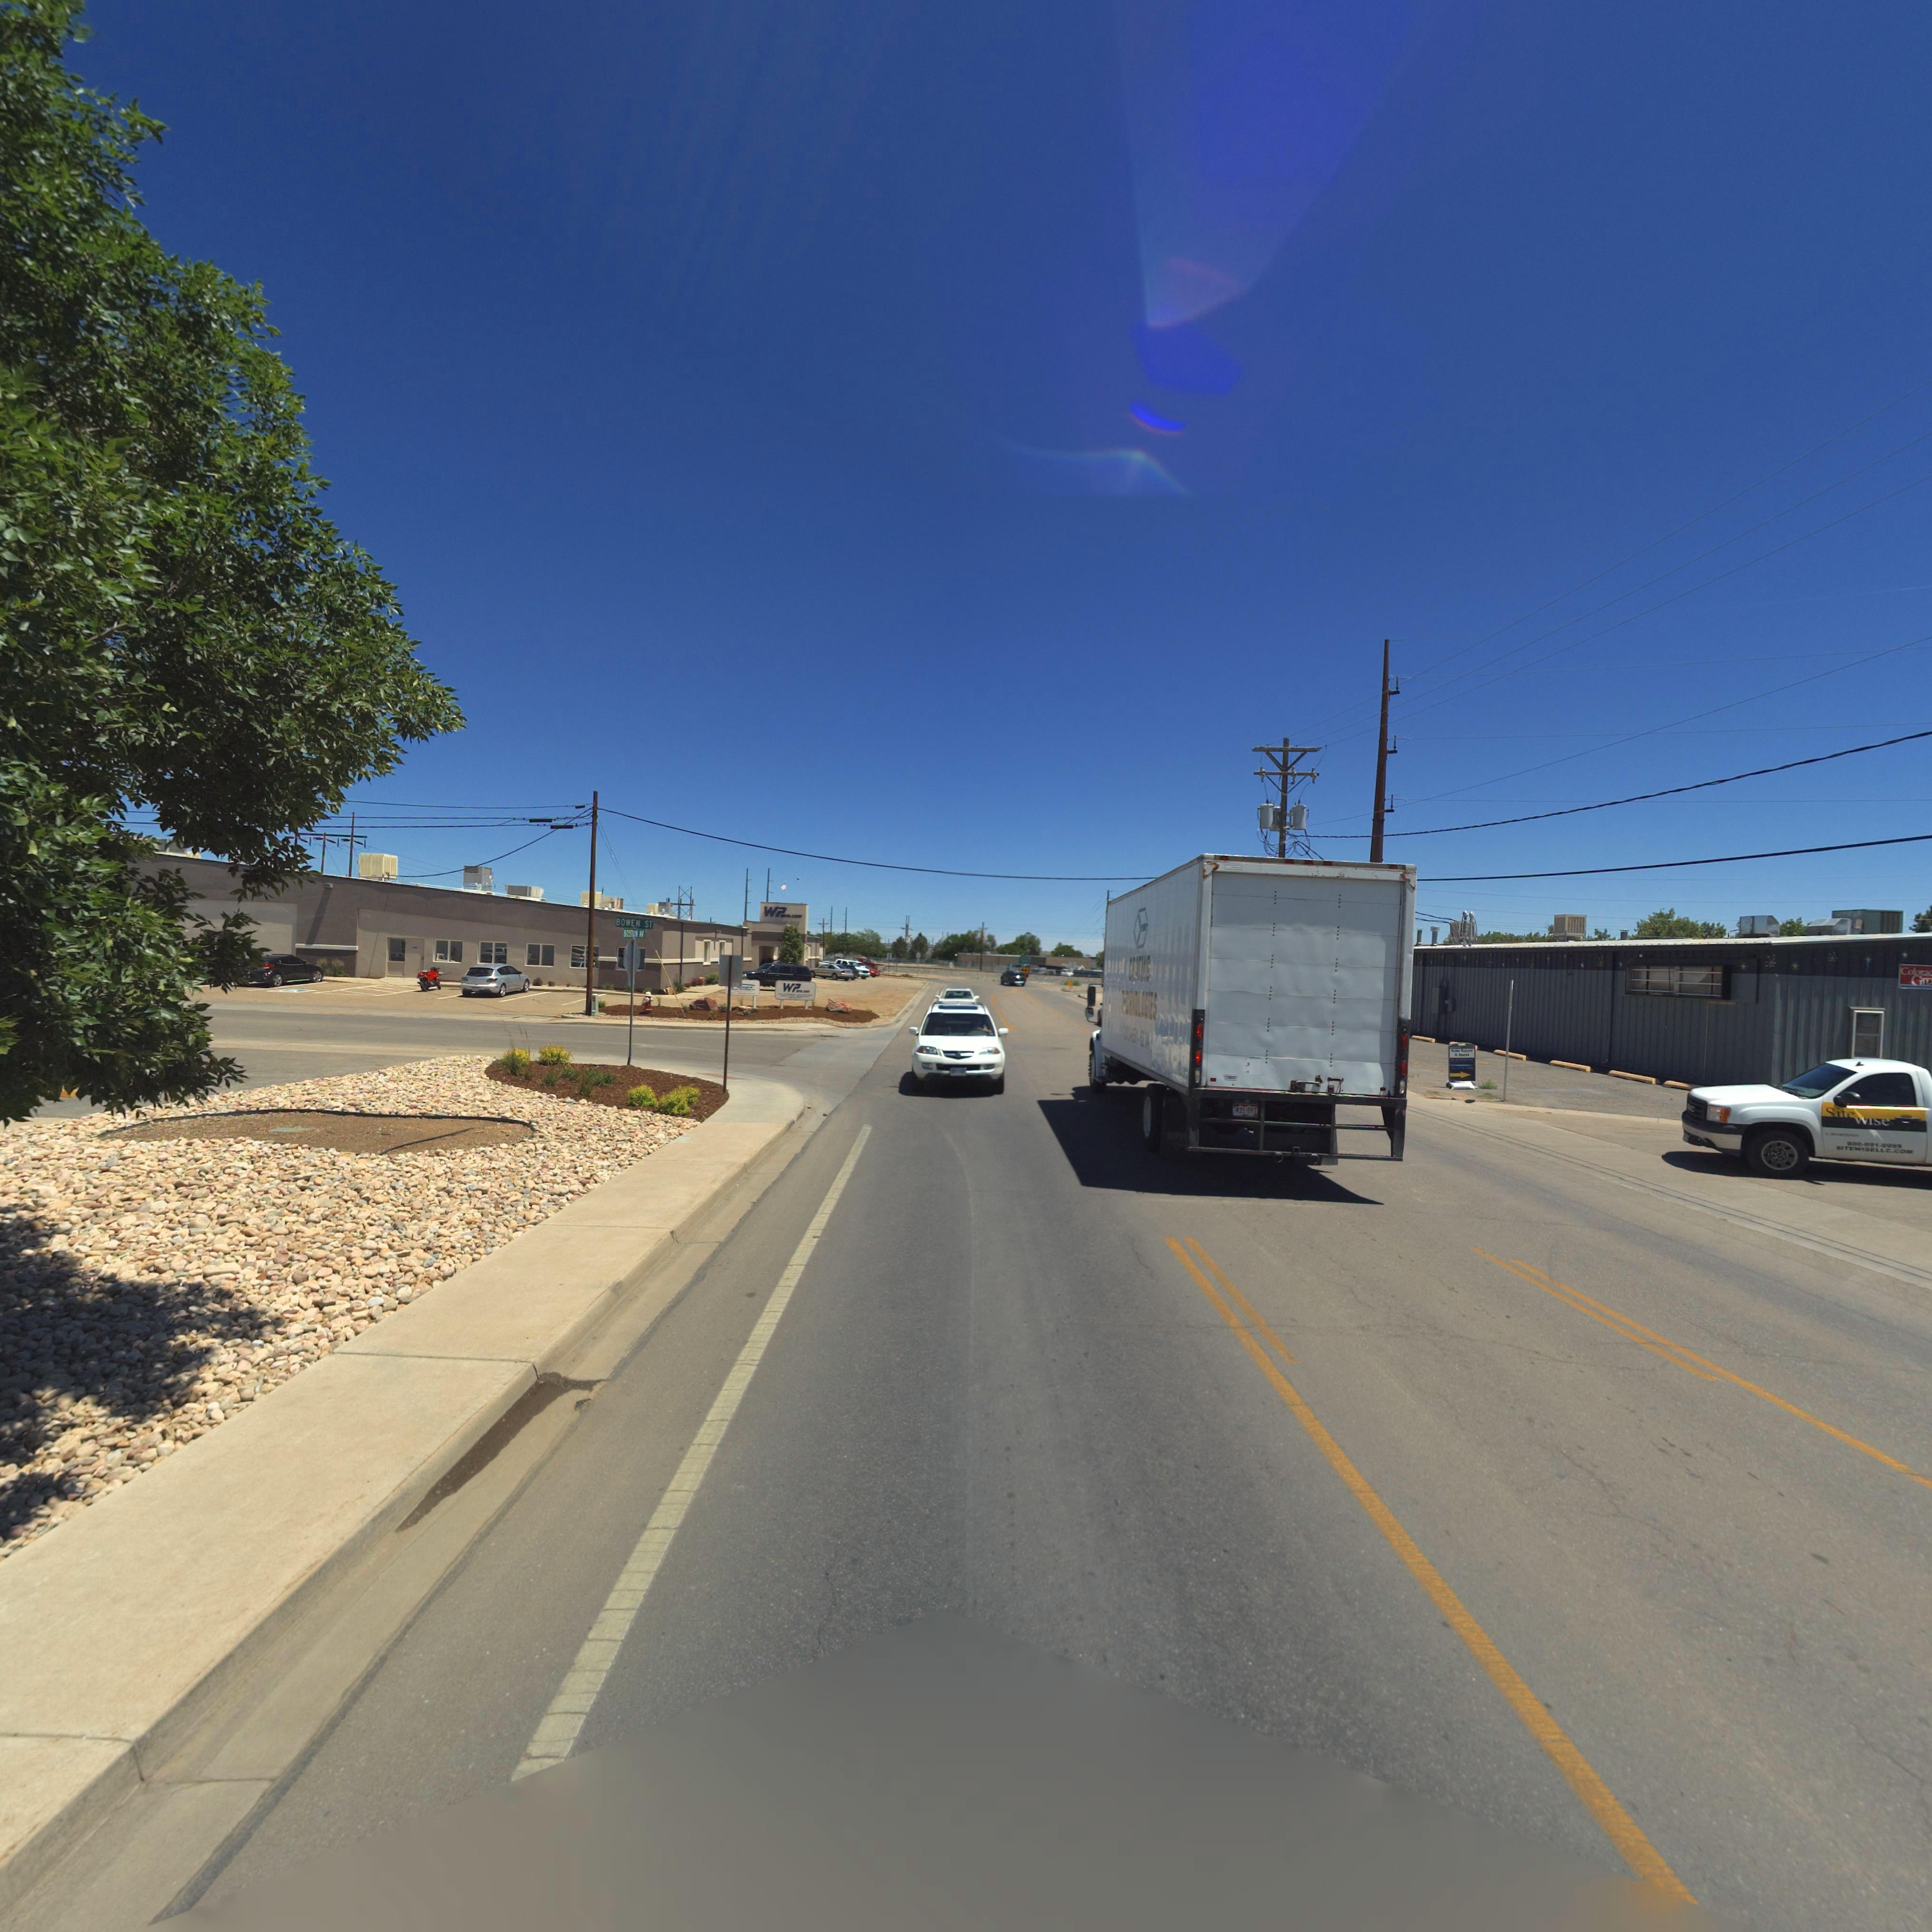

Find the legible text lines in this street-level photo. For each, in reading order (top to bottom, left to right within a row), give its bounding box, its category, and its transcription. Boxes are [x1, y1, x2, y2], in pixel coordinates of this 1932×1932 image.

[764, 906, 786, 917] BusinessName: WP
[616, 918, 653, 927] StreetName: BOWEN ST
[623, 930, 644, 937] StreetName: BOSTON AV
[743, 986, 753, 989] BusinessName: ion
[783, 983, 801, 992] BusinessName: WP